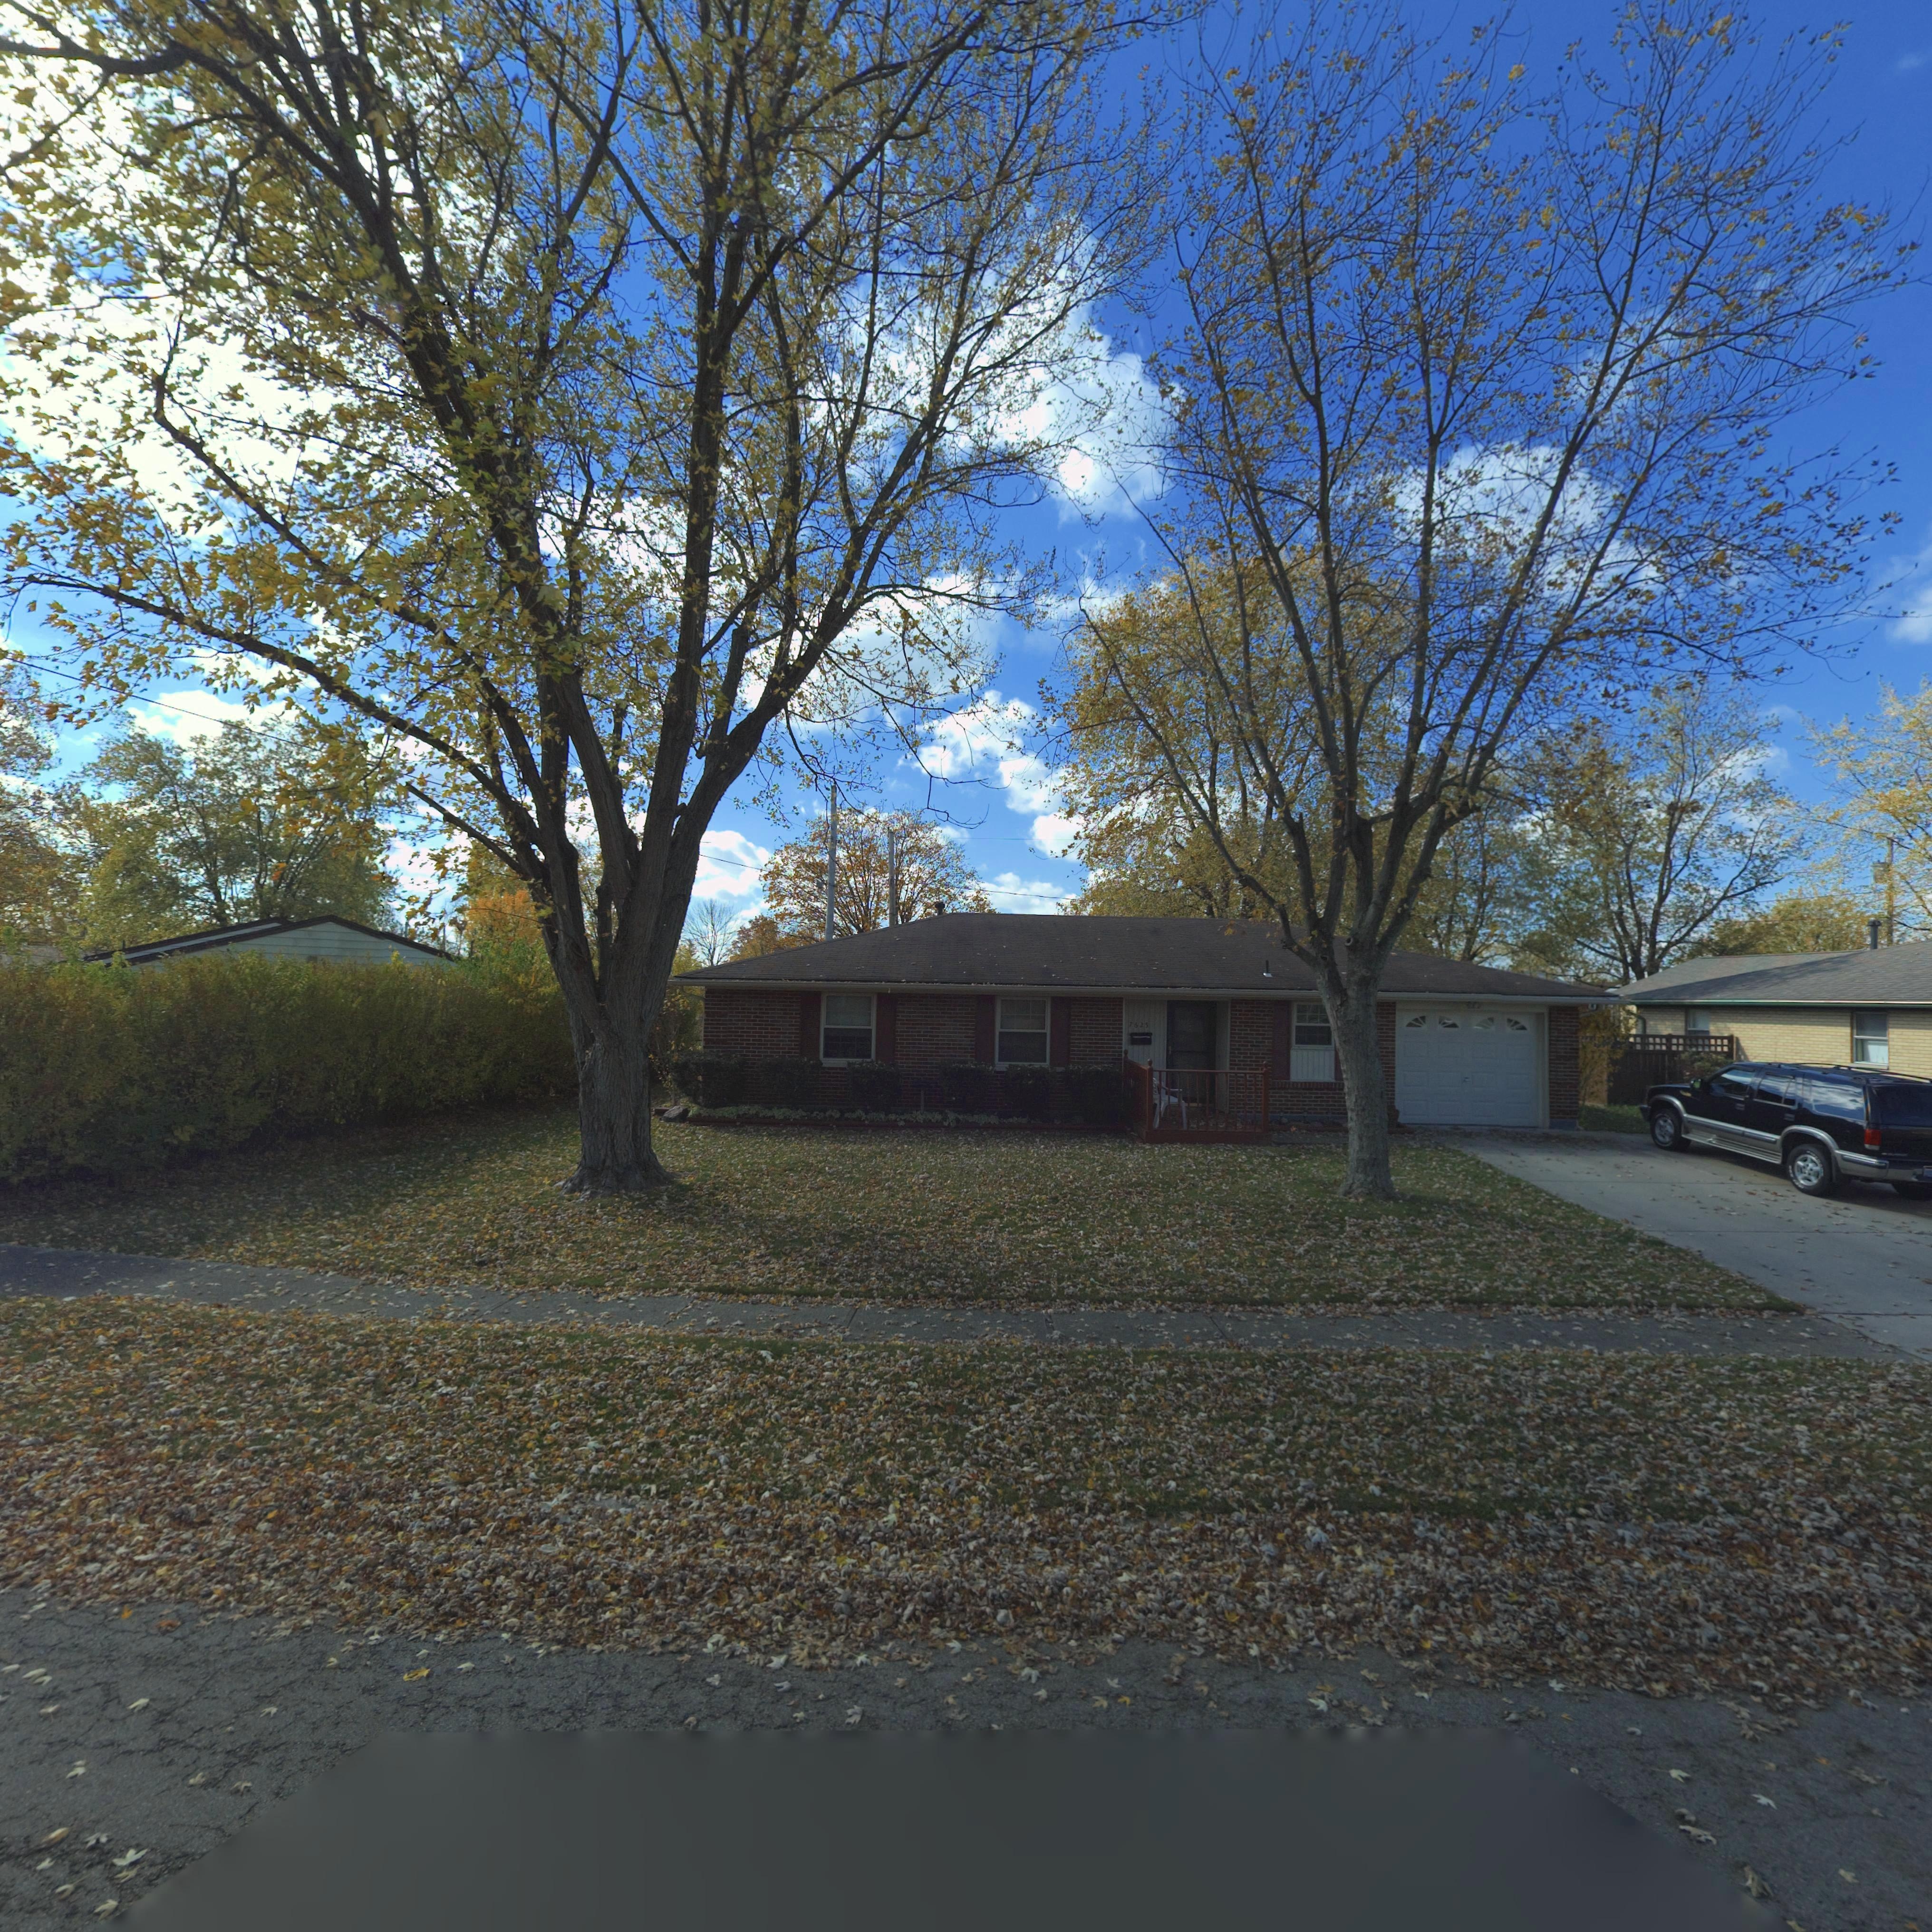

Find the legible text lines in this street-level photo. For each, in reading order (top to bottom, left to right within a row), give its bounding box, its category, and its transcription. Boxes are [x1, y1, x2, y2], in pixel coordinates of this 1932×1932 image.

[1128, 1021, 1150, 1030] StreetNumber: 762*